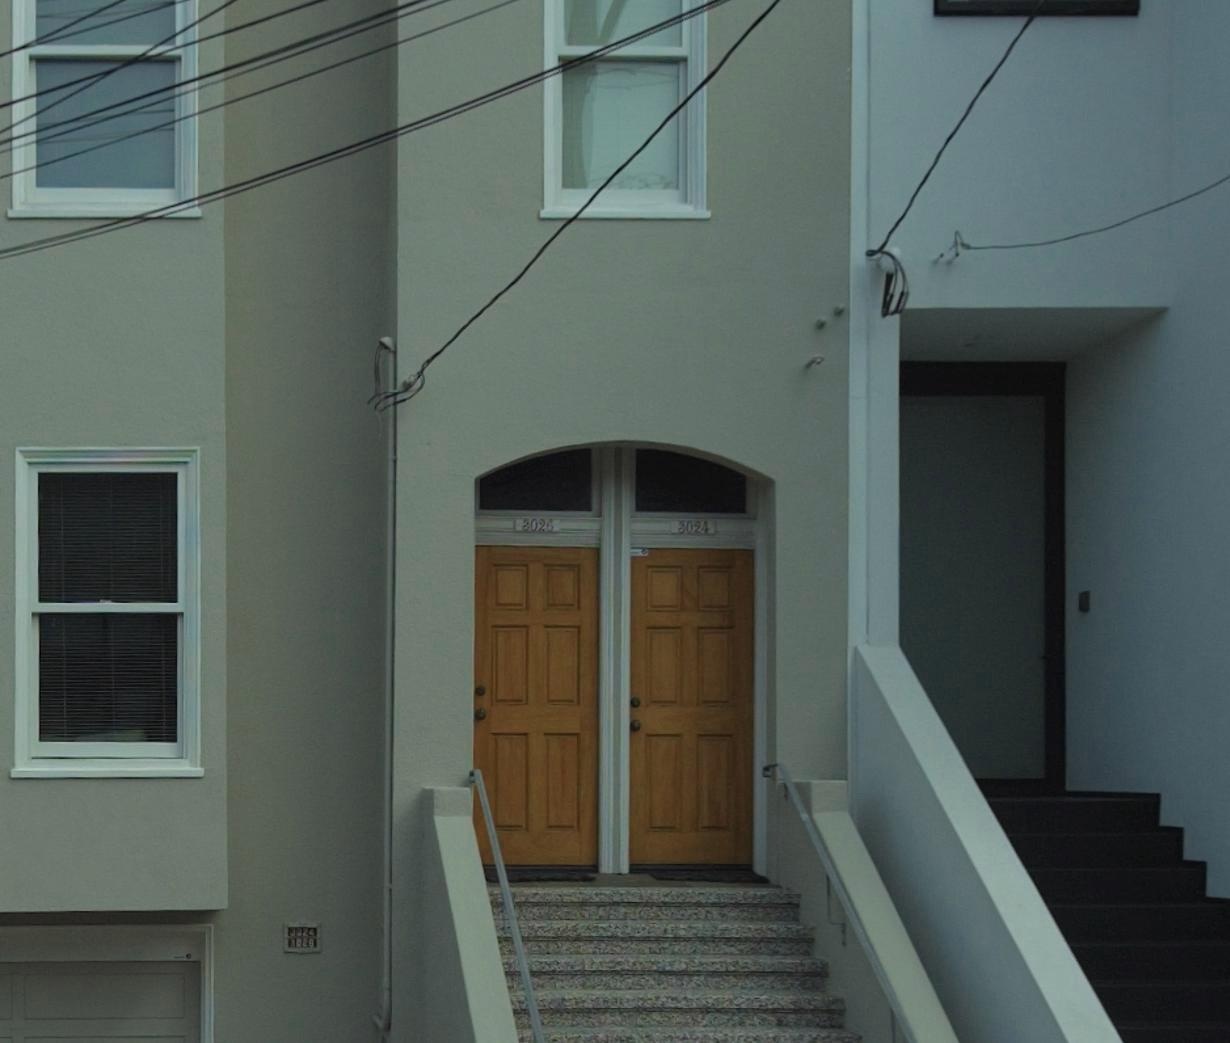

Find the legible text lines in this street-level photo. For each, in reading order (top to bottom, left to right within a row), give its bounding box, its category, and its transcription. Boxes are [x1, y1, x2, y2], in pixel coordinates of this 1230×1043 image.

[520, 516, 556, 535] StreetNumber: 3026
[675, 517, 712, 537] StreetNumber: 3024
[288, 925, 317, 938] StreetNumber: **2*
[287, 936, 316, 950] StreetNumber: *02*